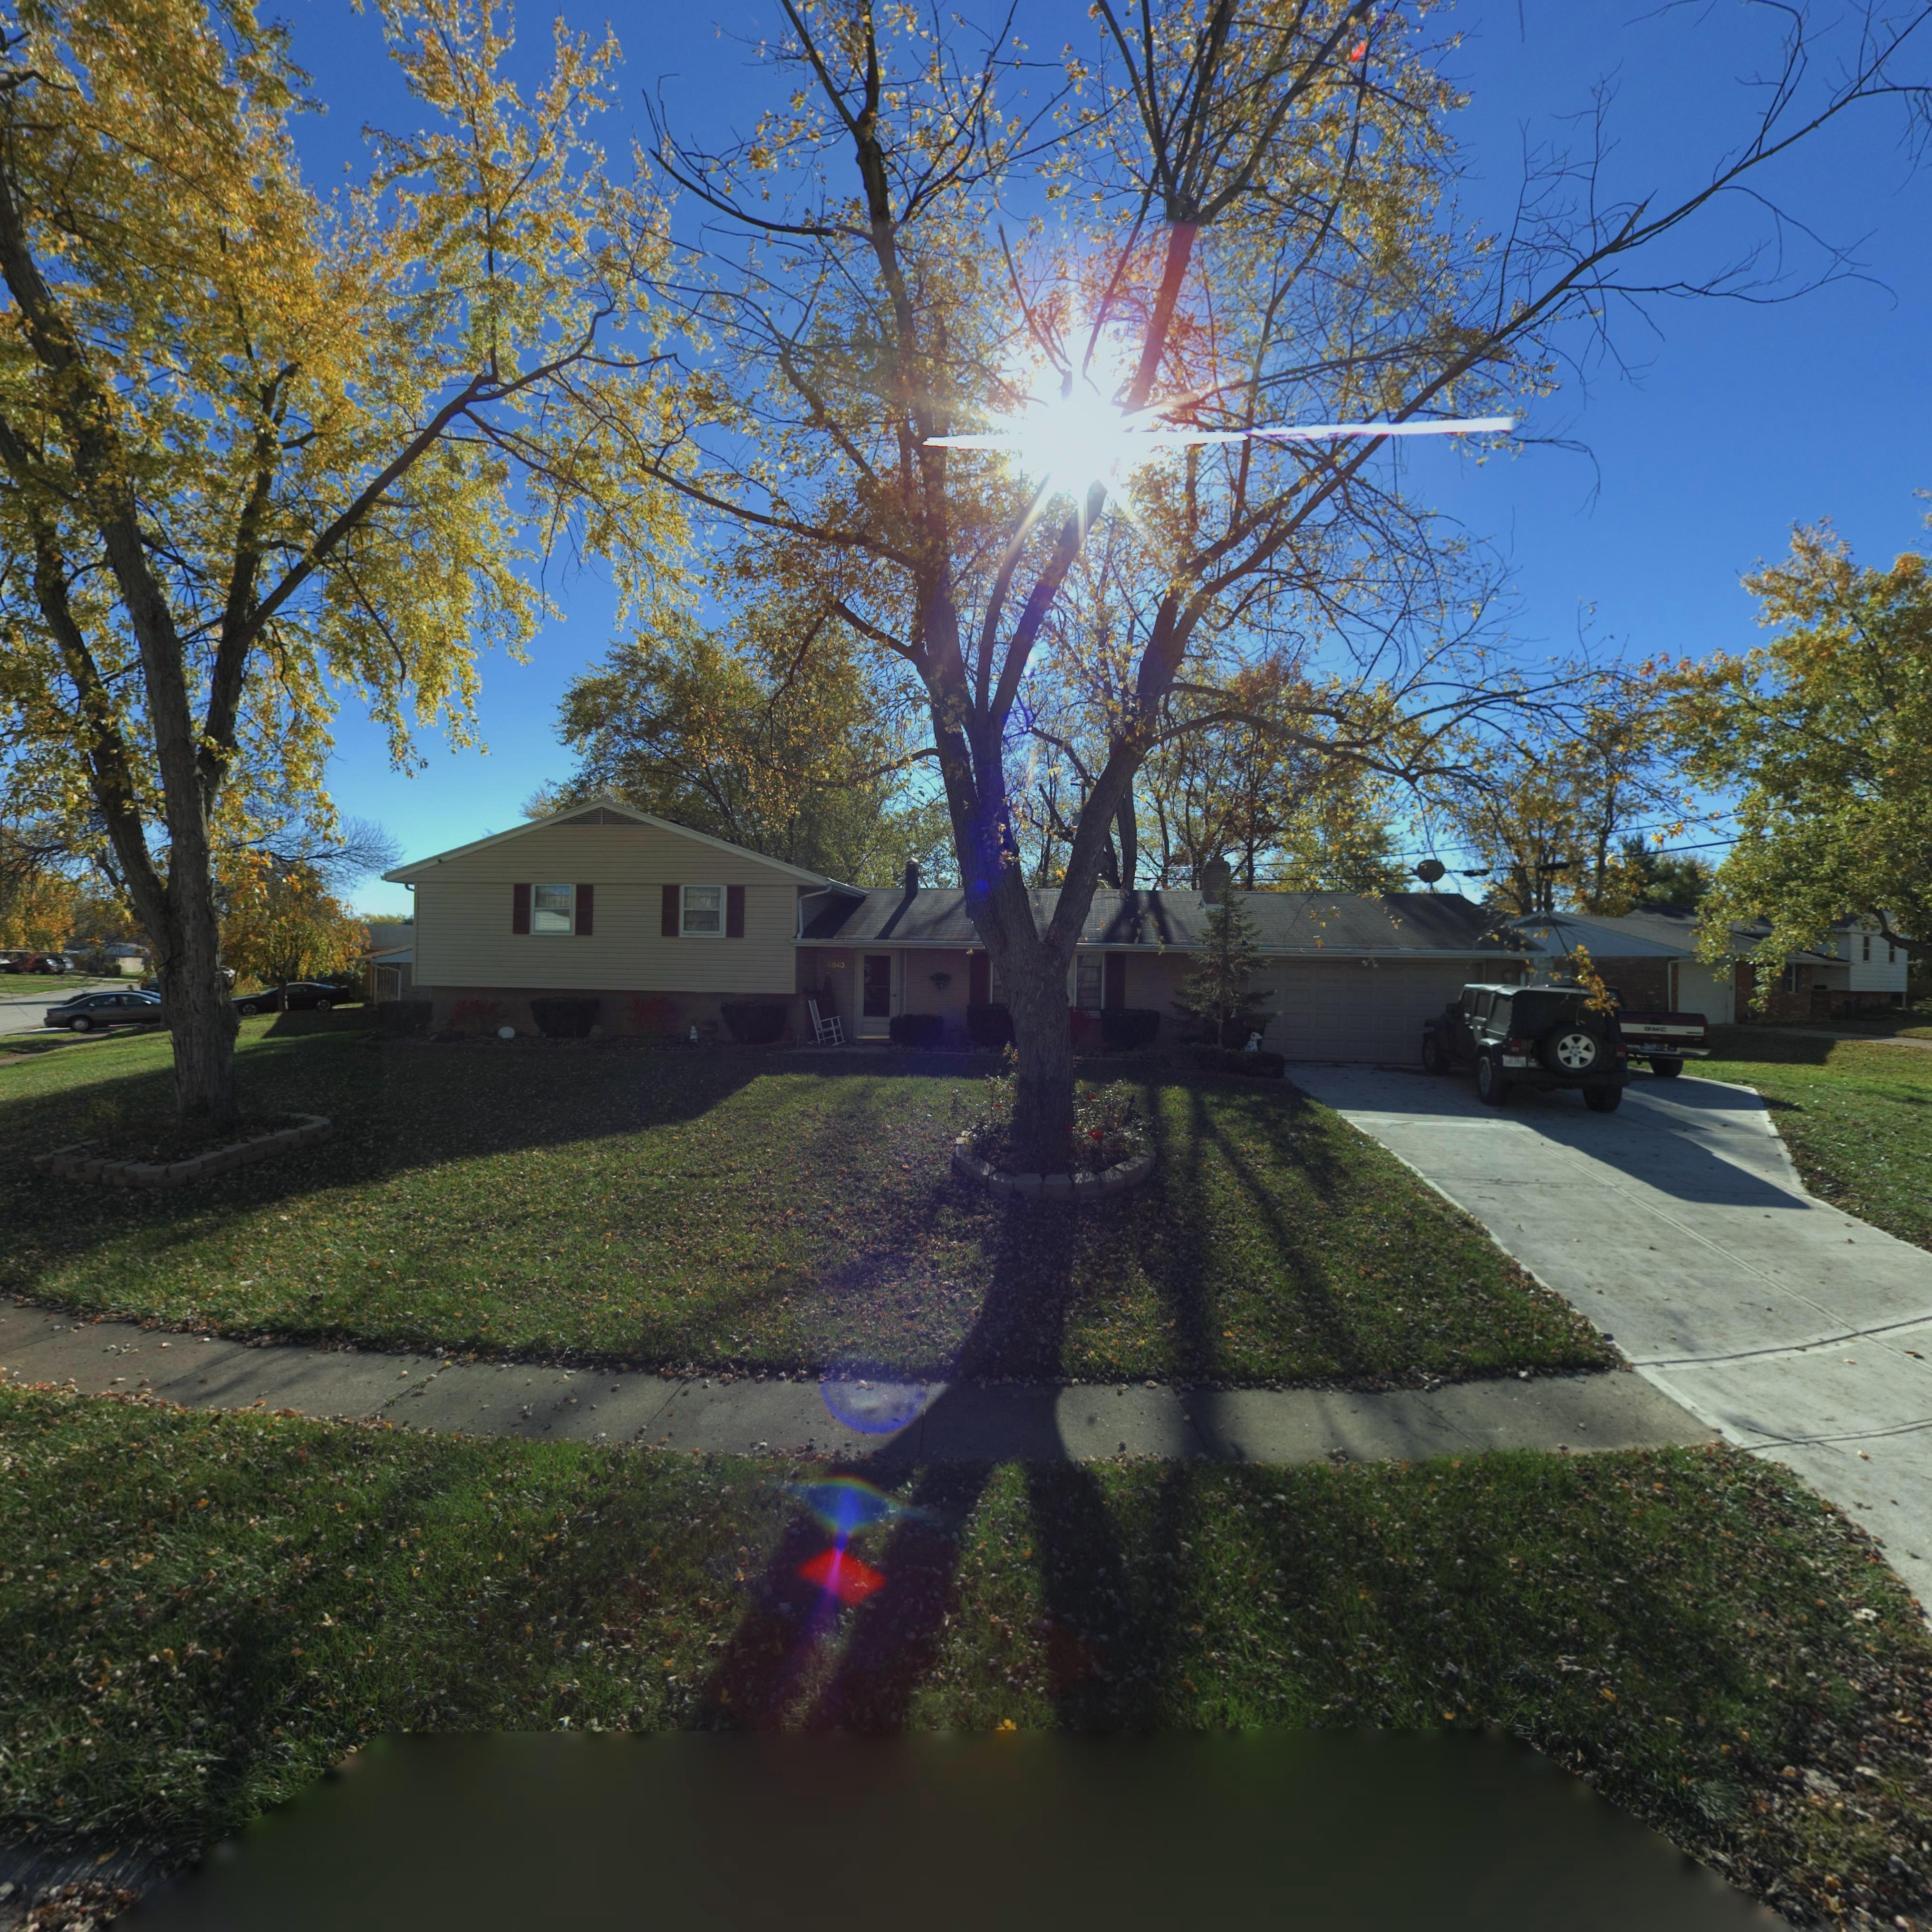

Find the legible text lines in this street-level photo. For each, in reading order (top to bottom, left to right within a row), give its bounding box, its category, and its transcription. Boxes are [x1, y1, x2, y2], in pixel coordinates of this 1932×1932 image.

[827, 961, 845, 968] StreetNumber: 6843